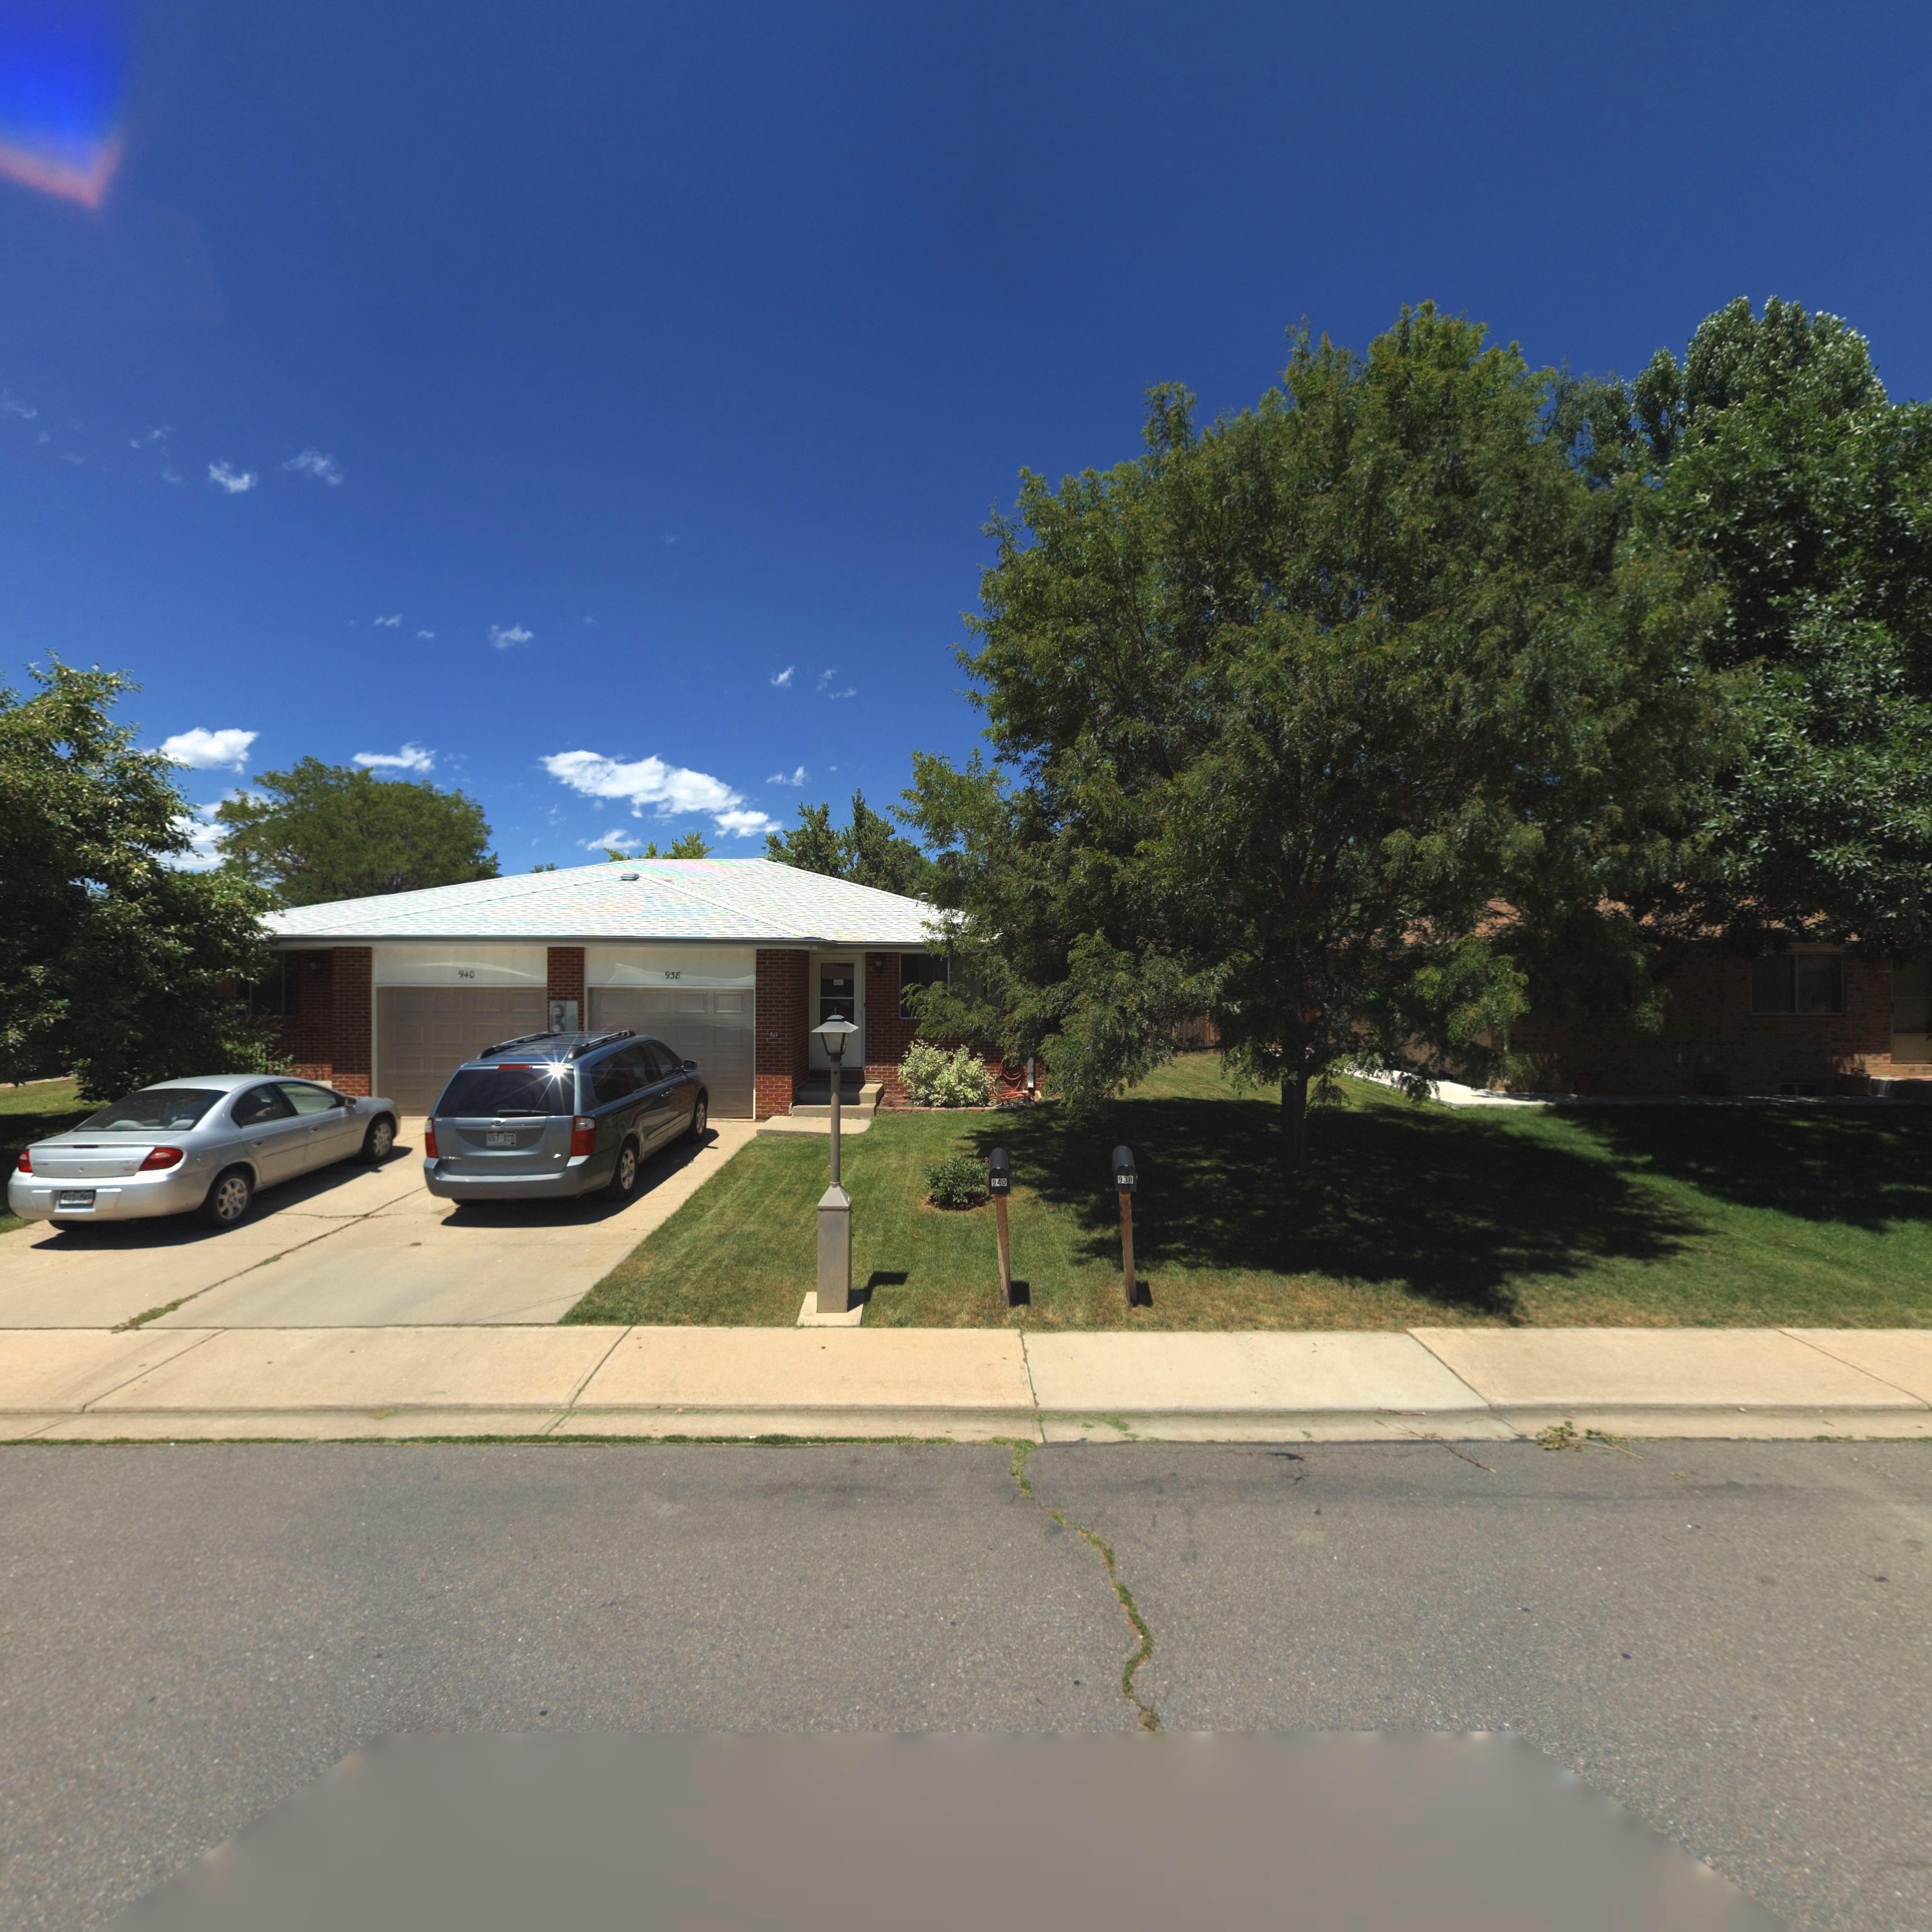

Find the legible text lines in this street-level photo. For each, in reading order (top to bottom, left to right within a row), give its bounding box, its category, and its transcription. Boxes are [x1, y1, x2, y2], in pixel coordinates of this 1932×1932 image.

[458, 969, 475, 978] StreetNumber: 940
[665, 970, 680, 979] StreetNumber: 938
[992, 1179, 1005, 1186] StreetNumber: 940
[1119, 1176, 1132, 1183] StreetNumber: 938